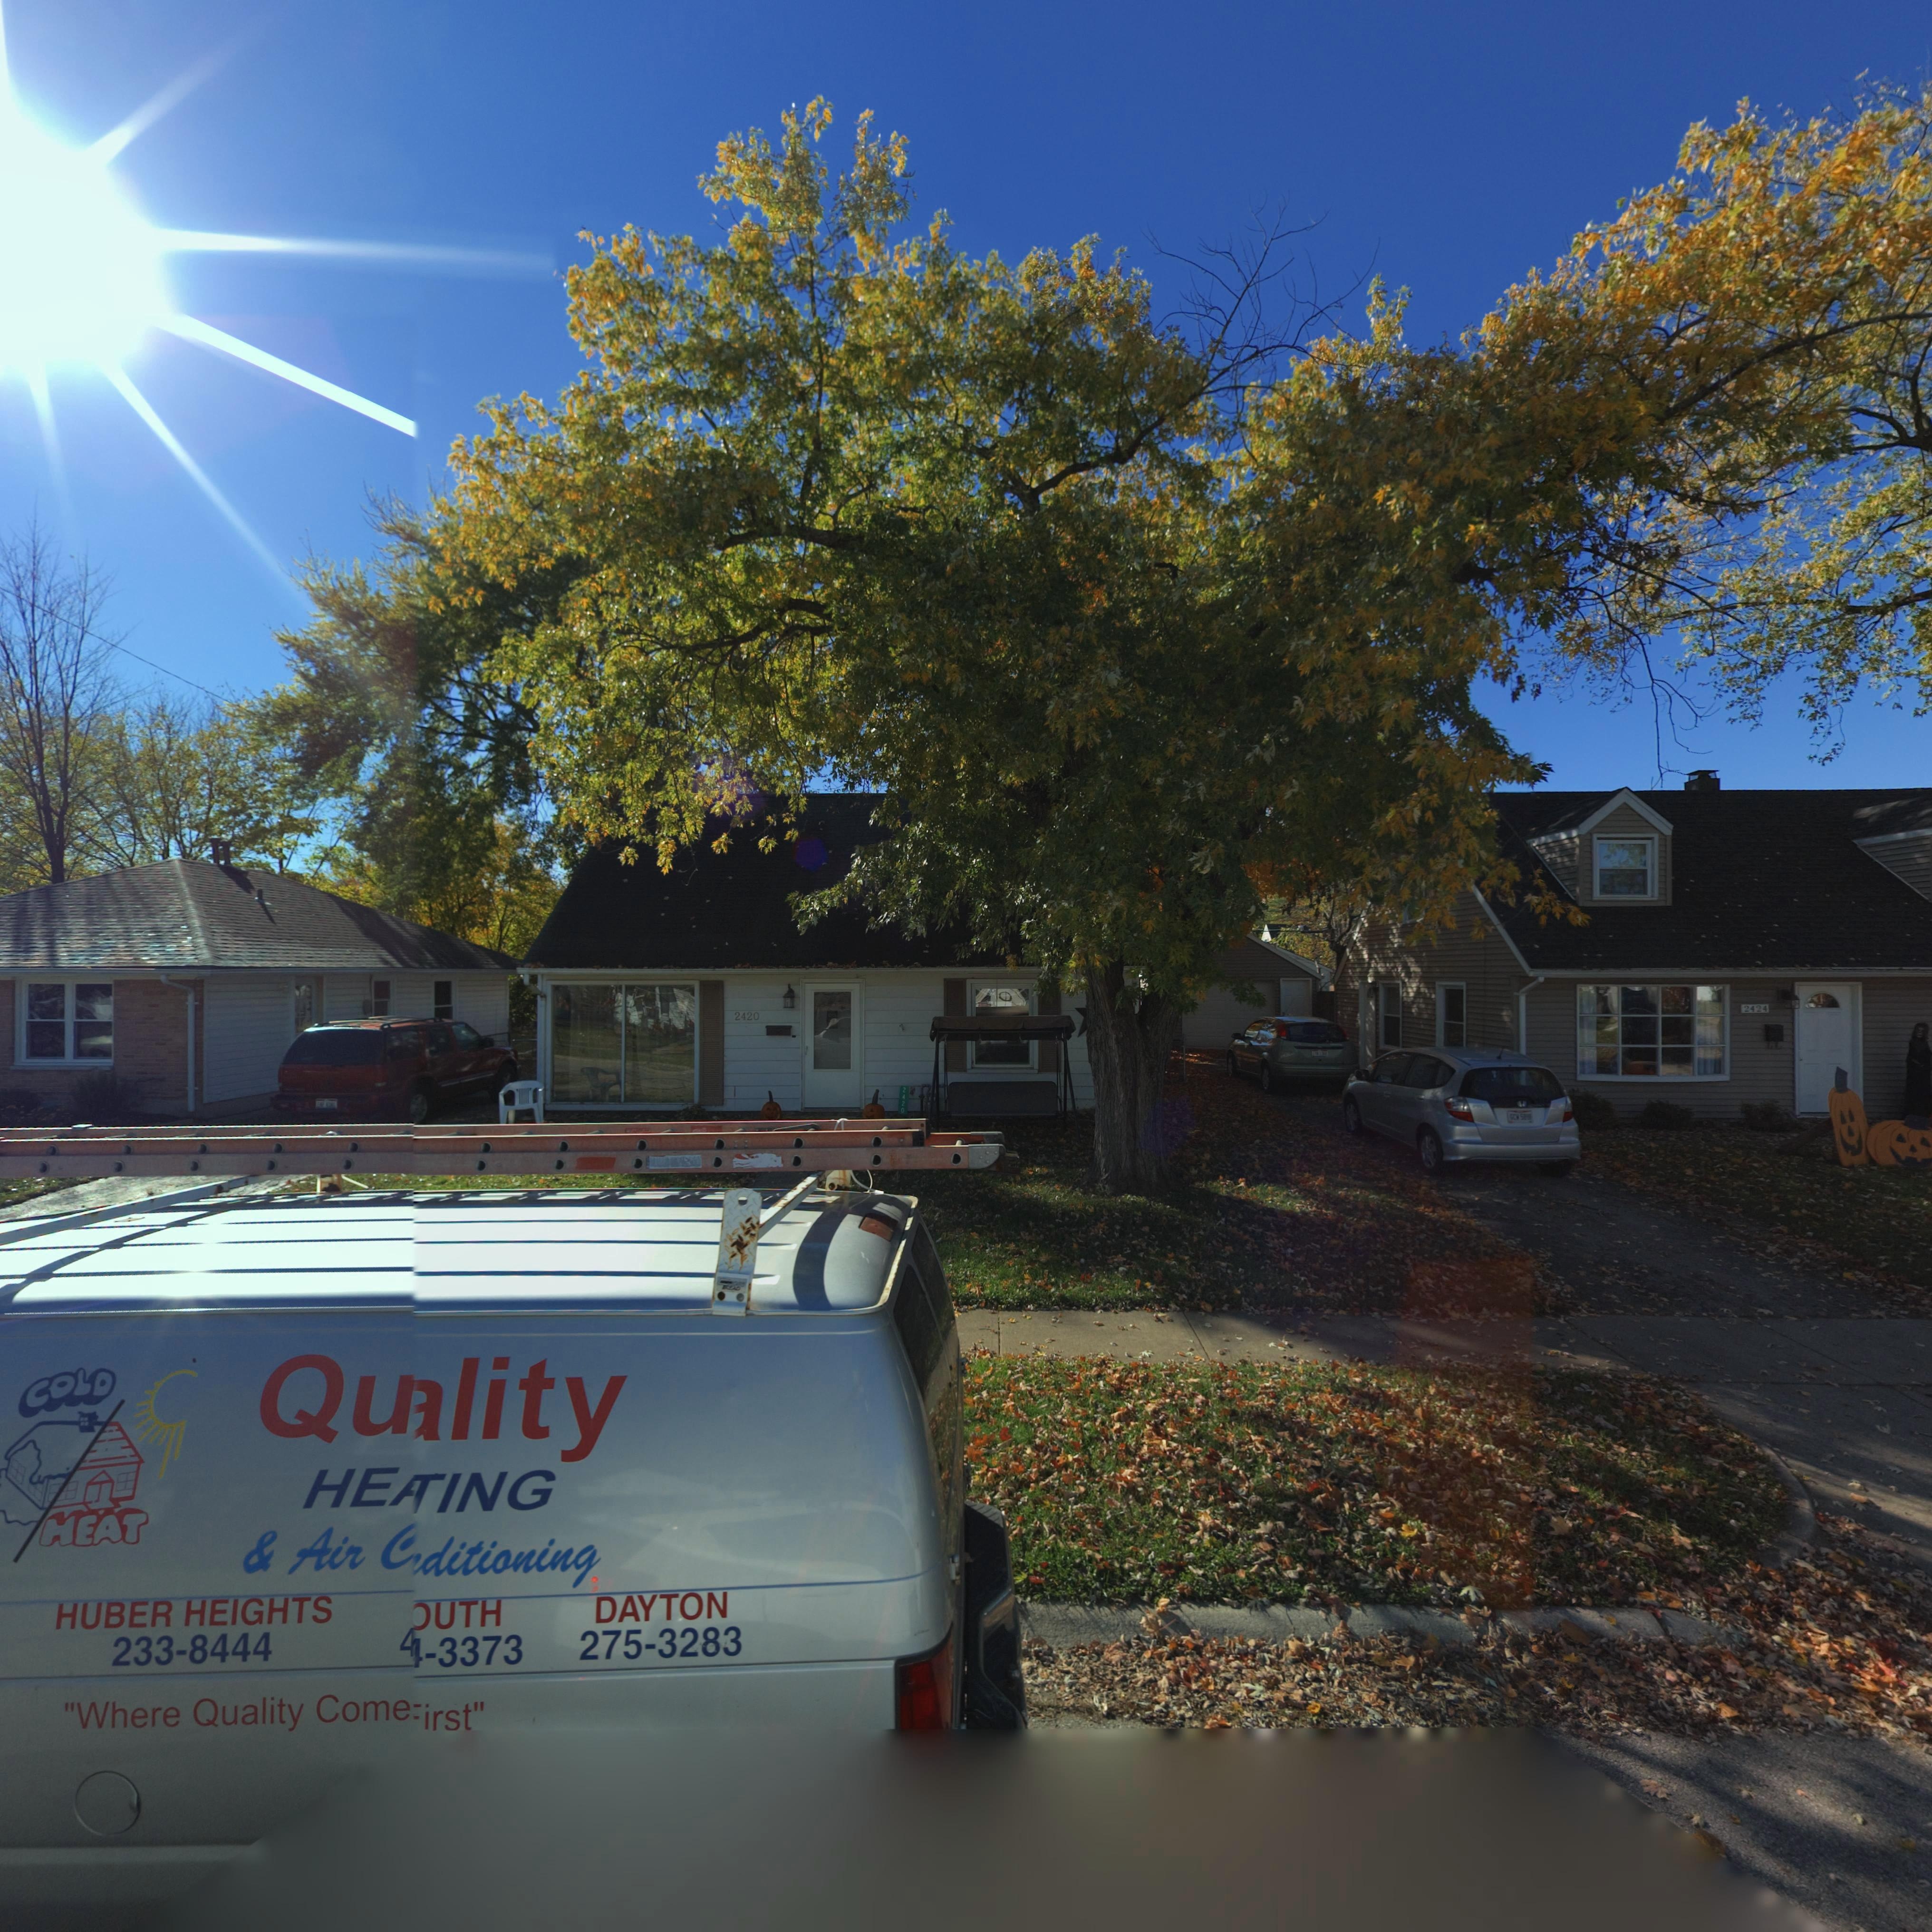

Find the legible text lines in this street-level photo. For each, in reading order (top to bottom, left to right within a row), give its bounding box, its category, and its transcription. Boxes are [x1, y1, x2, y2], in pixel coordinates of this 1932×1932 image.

[1742, 1004, 1769, 1013] StreetNumber: 2424
[734, 1011, 760, 1022] StreetNumber: 2420
[900, 1086, 907, 1114] StreetNumber: 2420